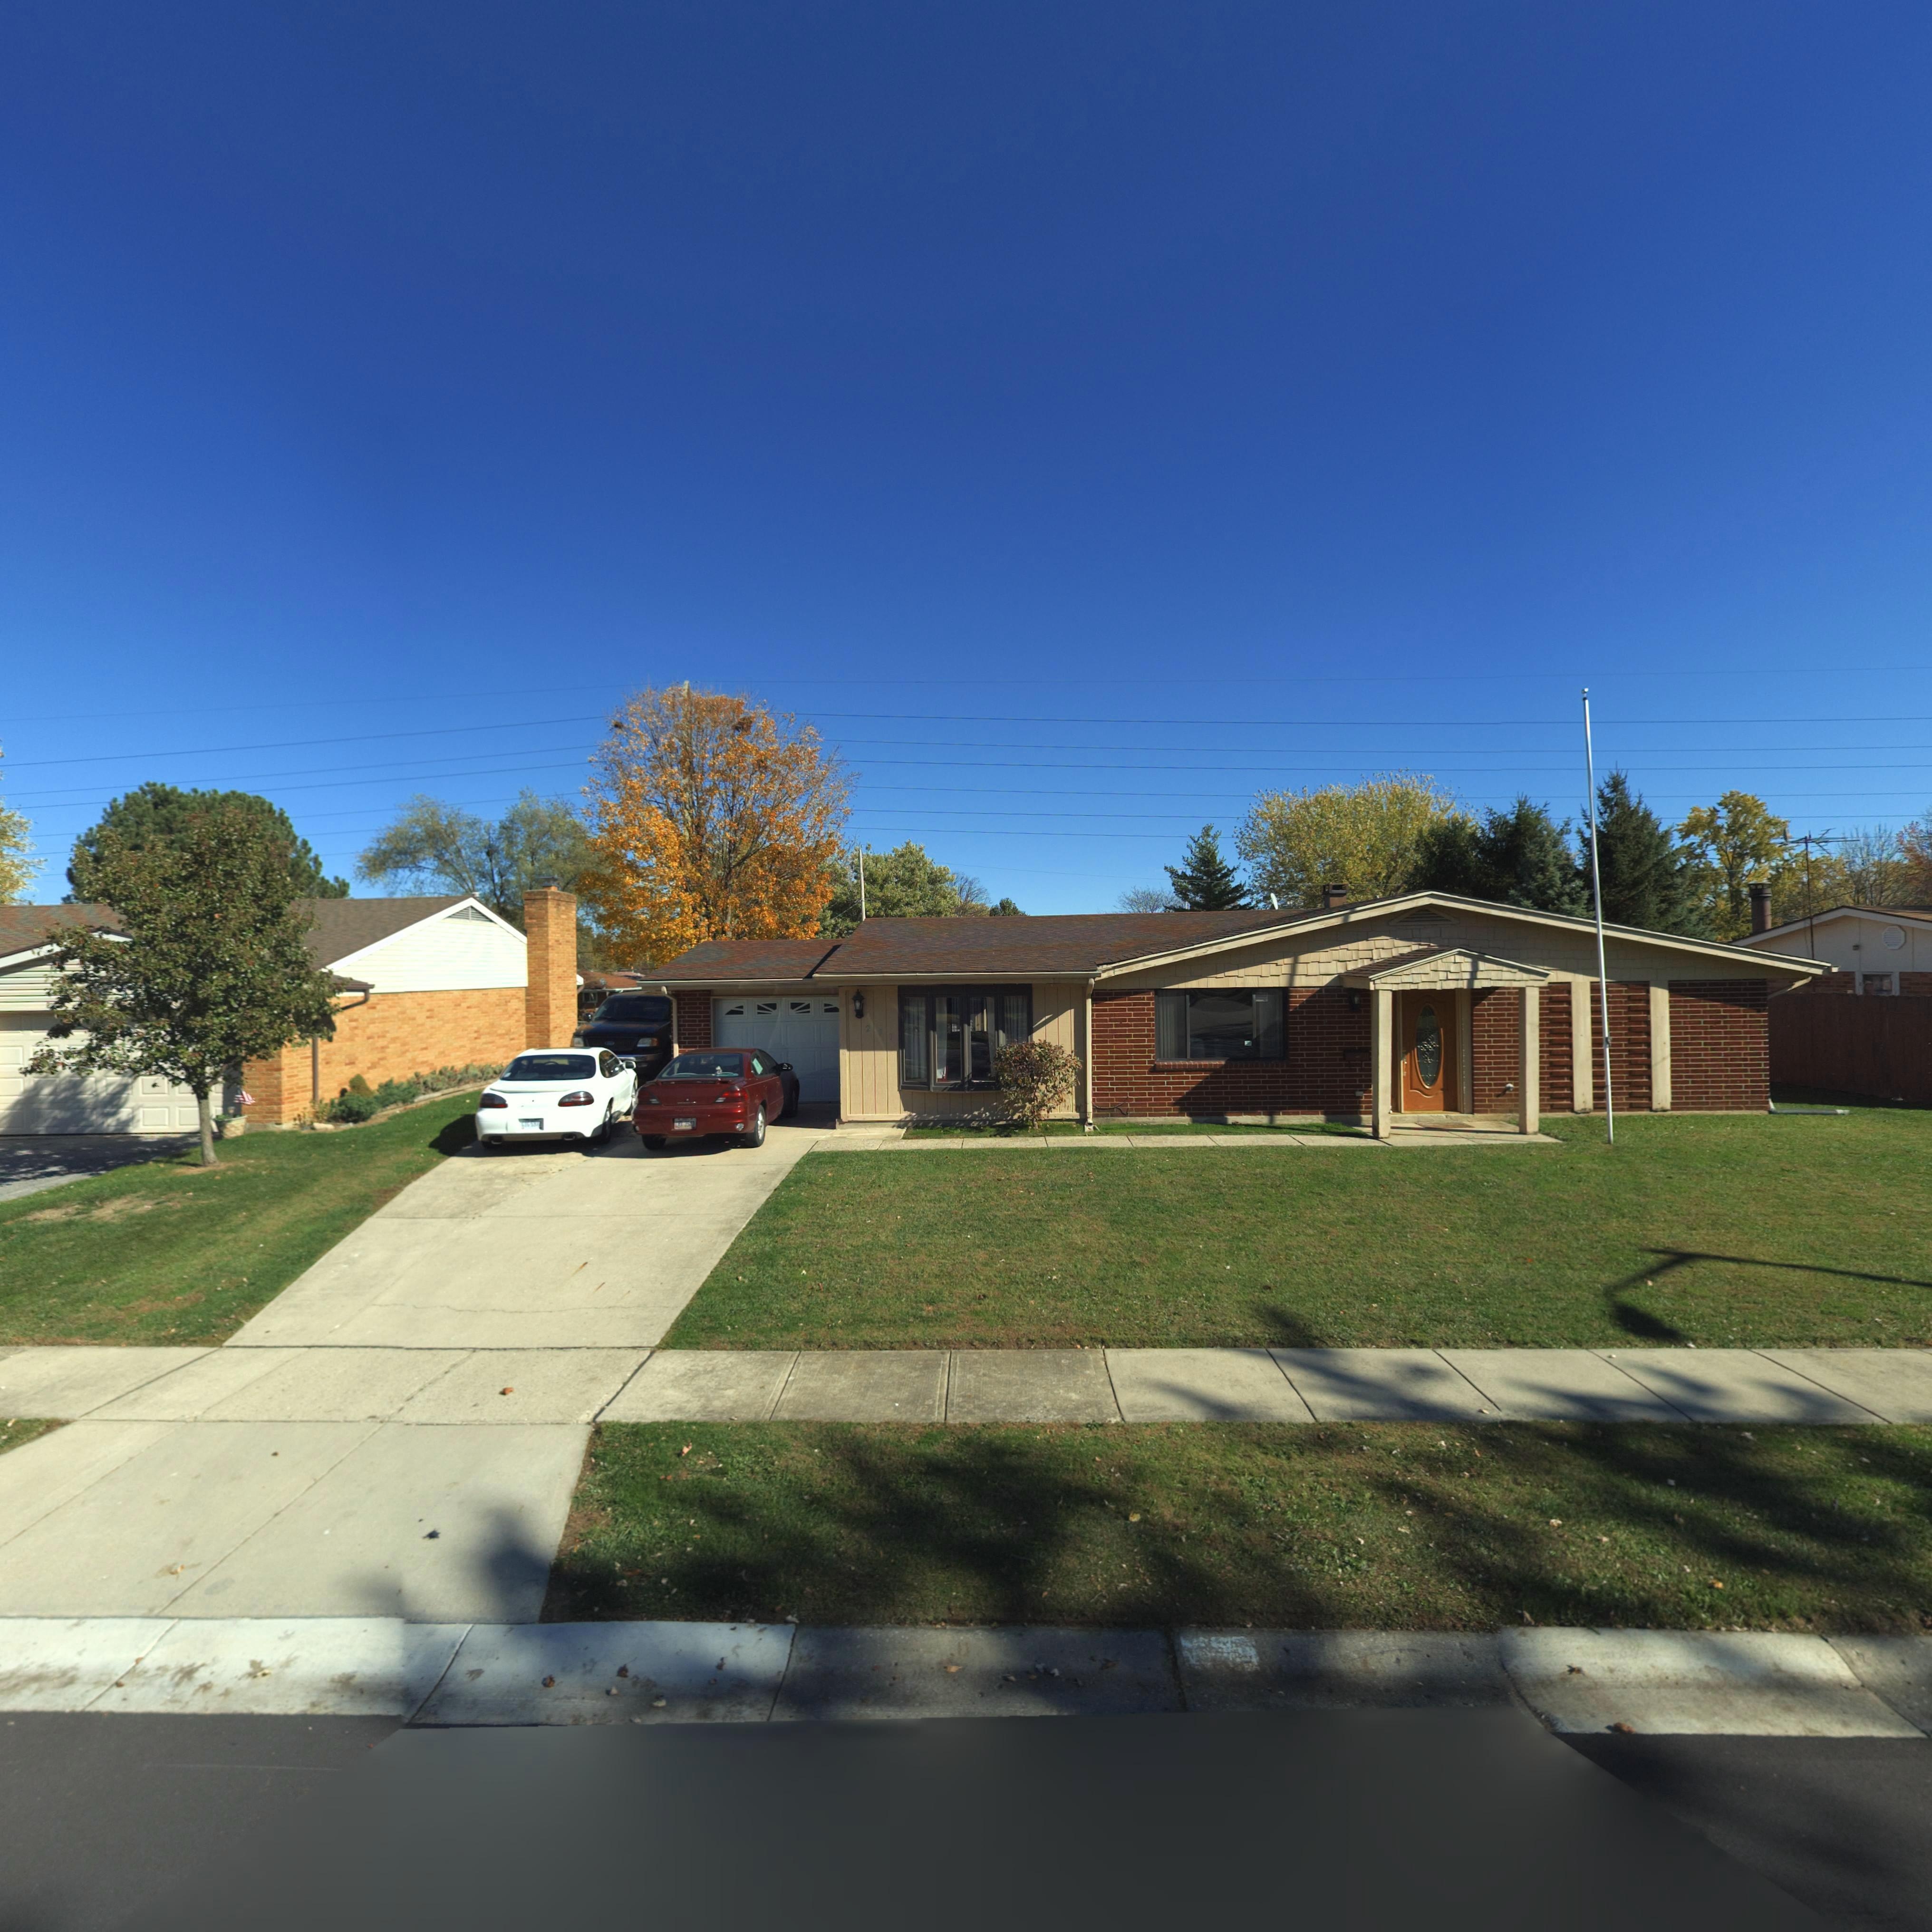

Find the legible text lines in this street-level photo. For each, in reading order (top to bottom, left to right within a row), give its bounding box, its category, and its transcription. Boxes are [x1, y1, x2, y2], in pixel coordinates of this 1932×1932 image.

[864, 1024, 893, 1041] StreetNumber: 201